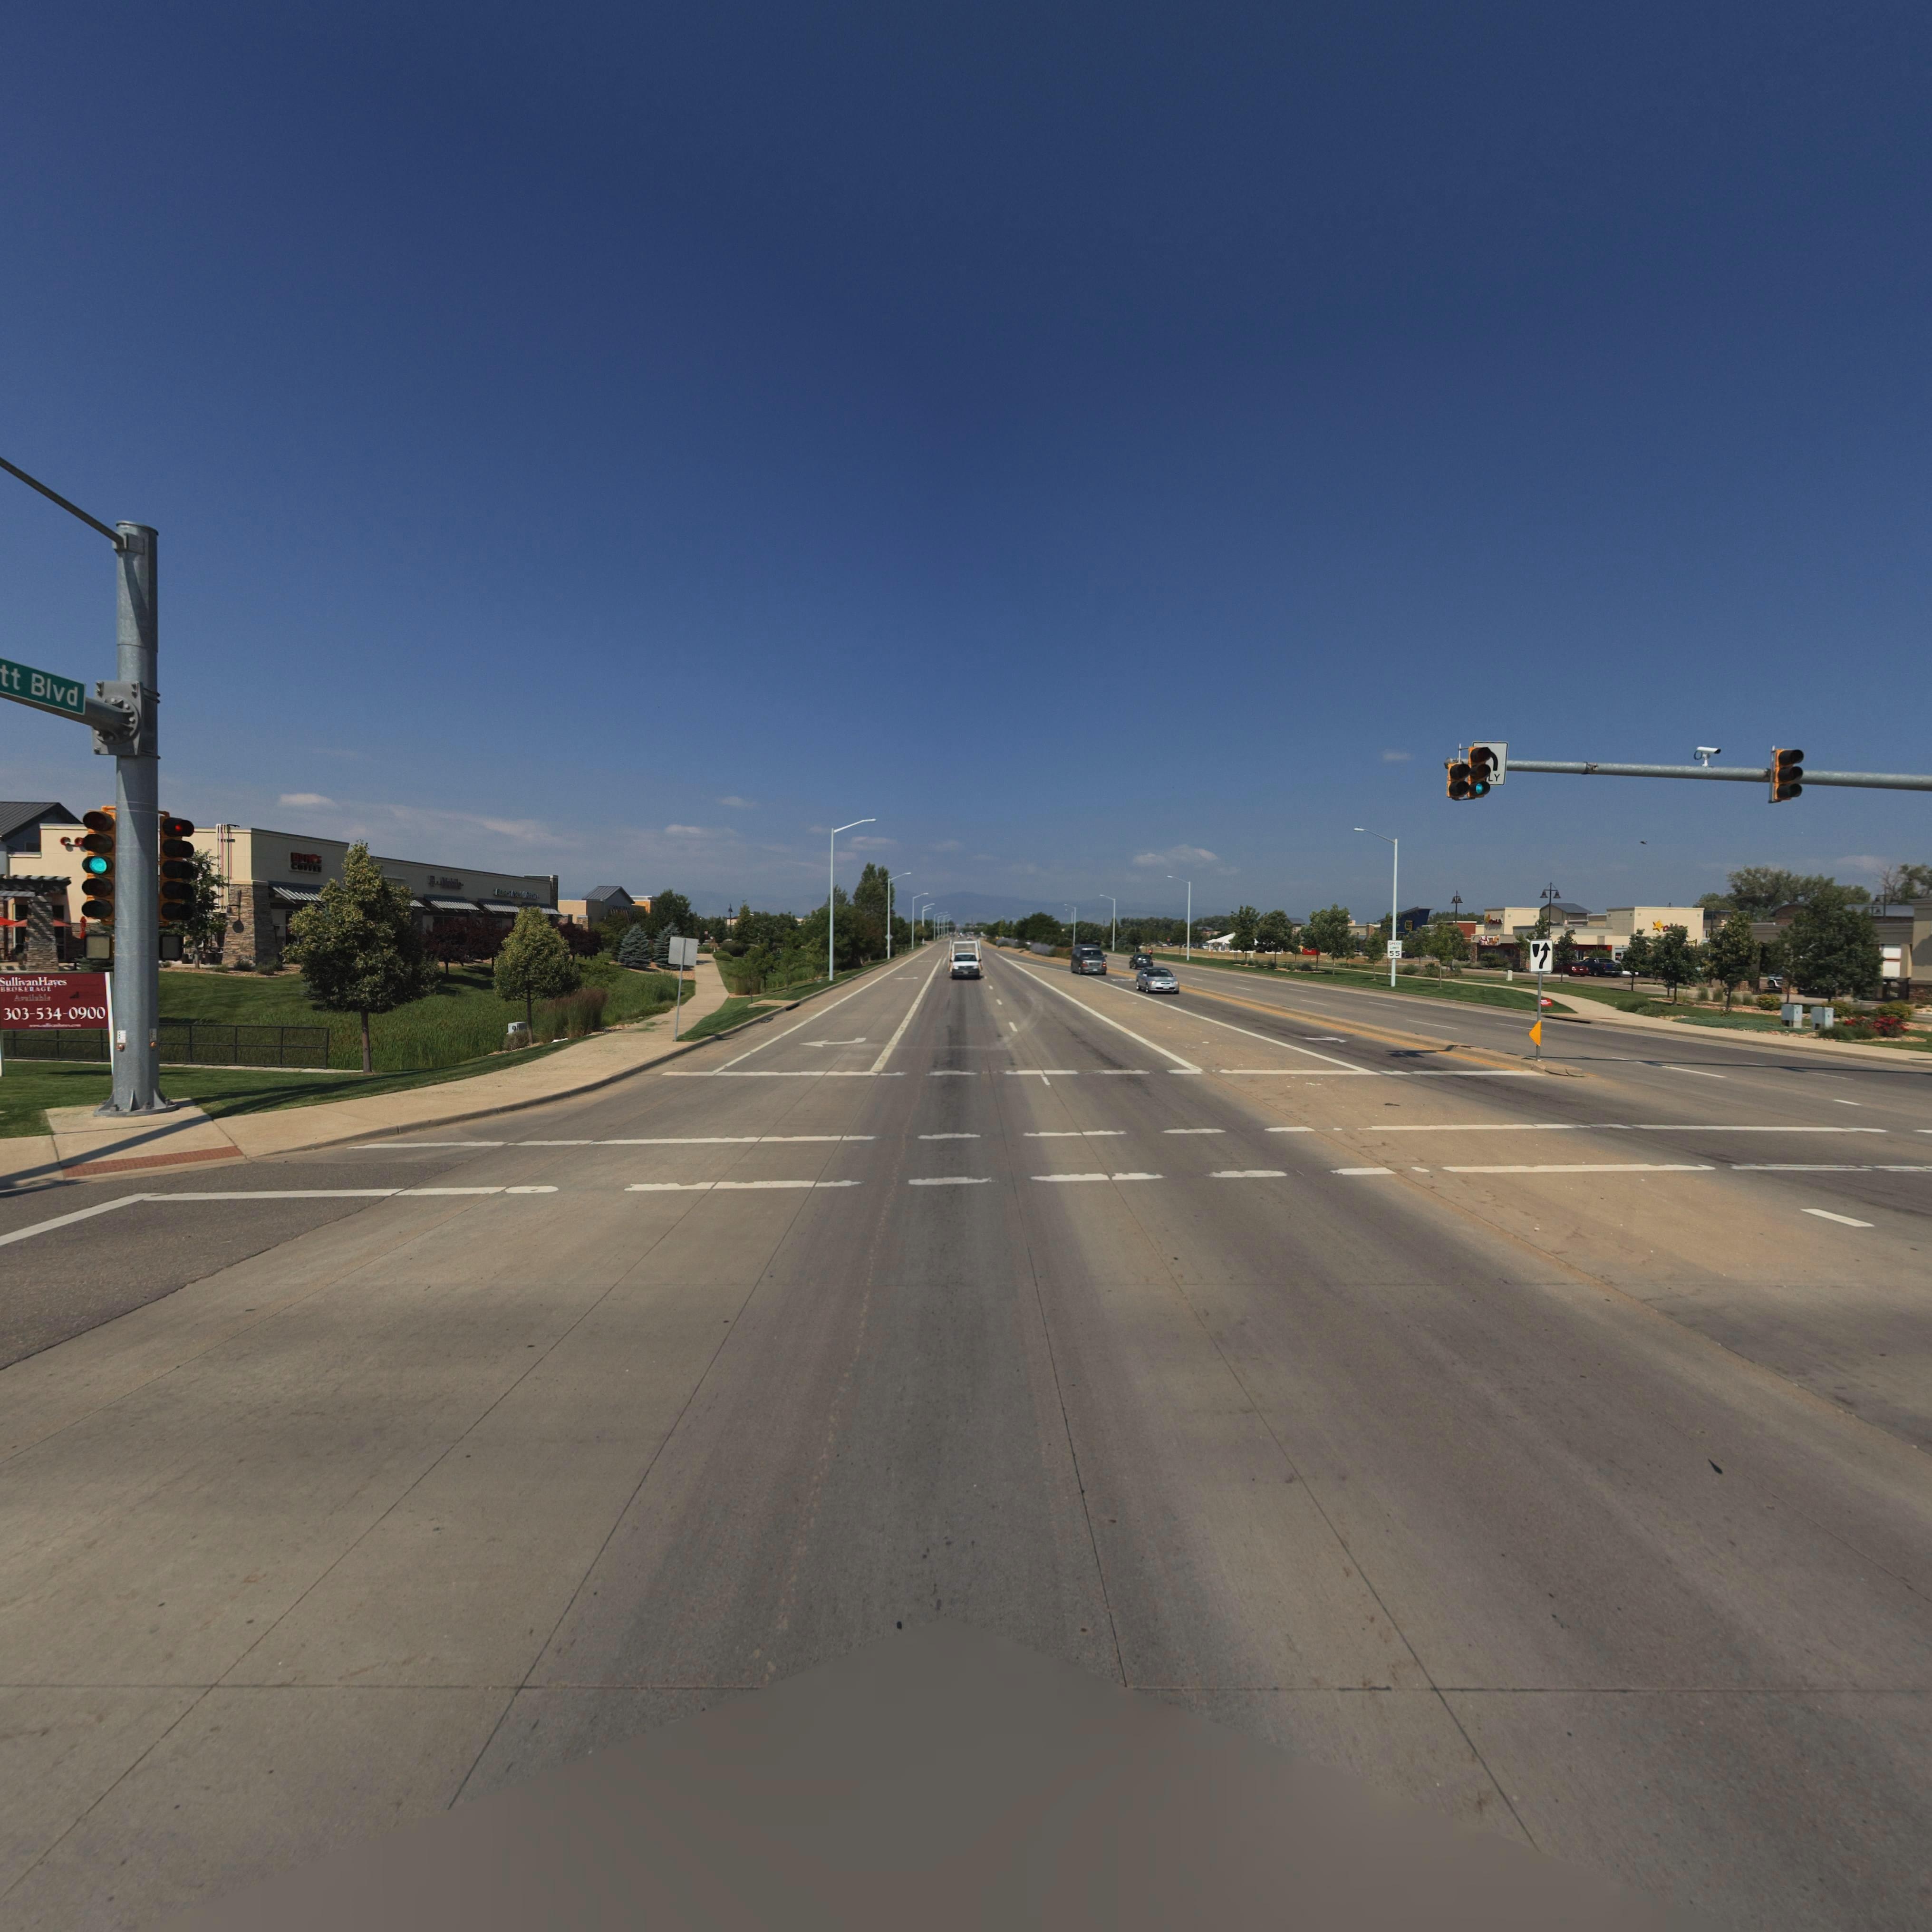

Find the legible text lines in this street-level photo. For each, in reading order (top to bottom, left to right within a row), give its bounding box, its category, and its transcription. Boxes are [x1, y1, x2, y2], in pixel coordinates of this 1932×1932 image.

[1, 664, 78, 707] StreetName: tt Blvd
[60, 836, 85, 847] BusinessName: CO
[291, 852, 322, 864] BusinessName: R*D F**G
[290, 862, 322, 872] BusinessName: COFFEE
[429, 875, 462, 890] BusinessName: T Mobile
[497, 889, 540, 899] BusinessName: B****T NOW* * D*NTAL